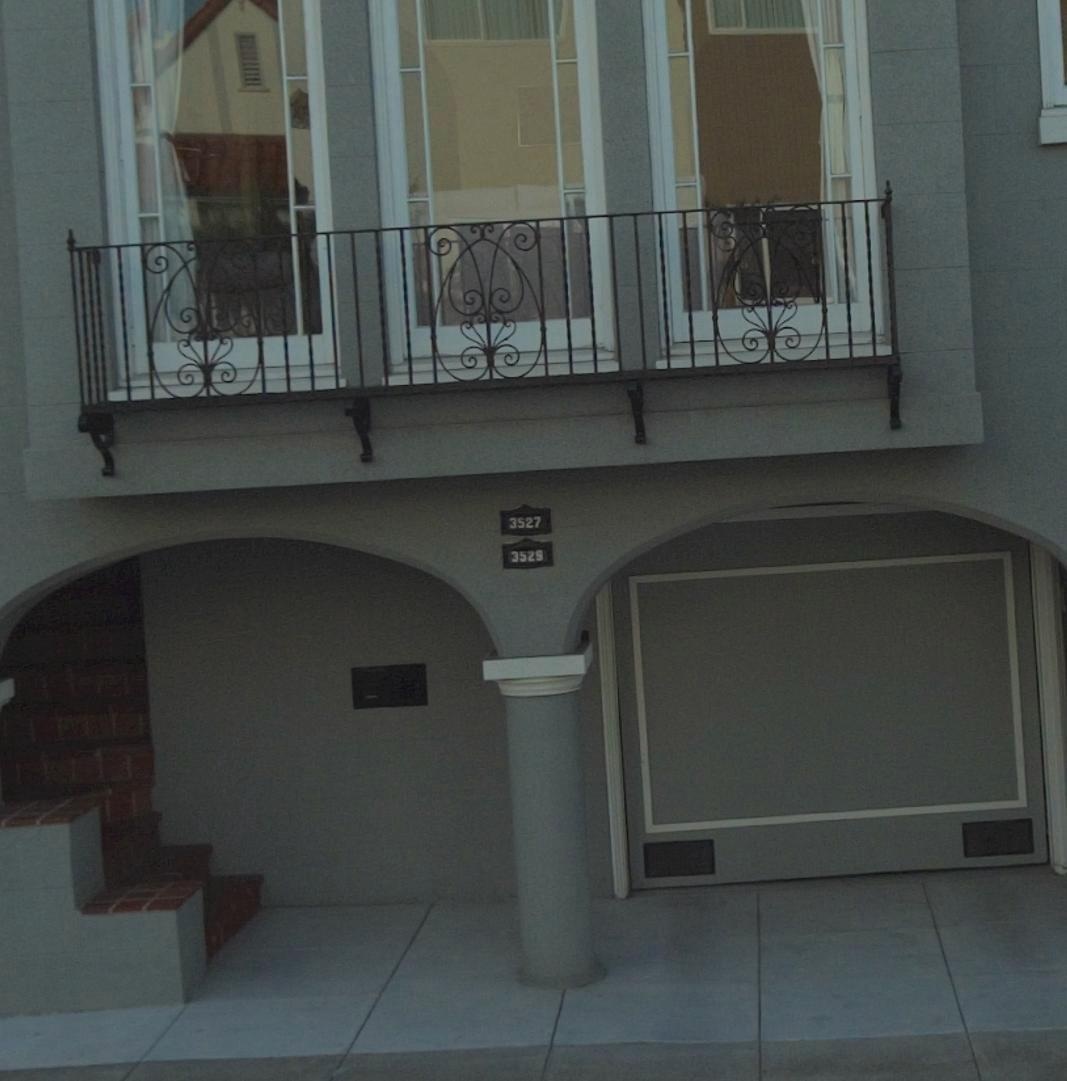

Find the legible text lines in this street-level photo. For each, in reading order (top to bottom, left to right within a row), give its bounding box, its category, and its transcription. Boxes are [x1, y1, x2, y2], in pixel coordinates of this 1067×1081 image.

[507, 514, 545, 531] StreetNumber: 3527
[508, 547, 546, 565] StreetNumber: 3529